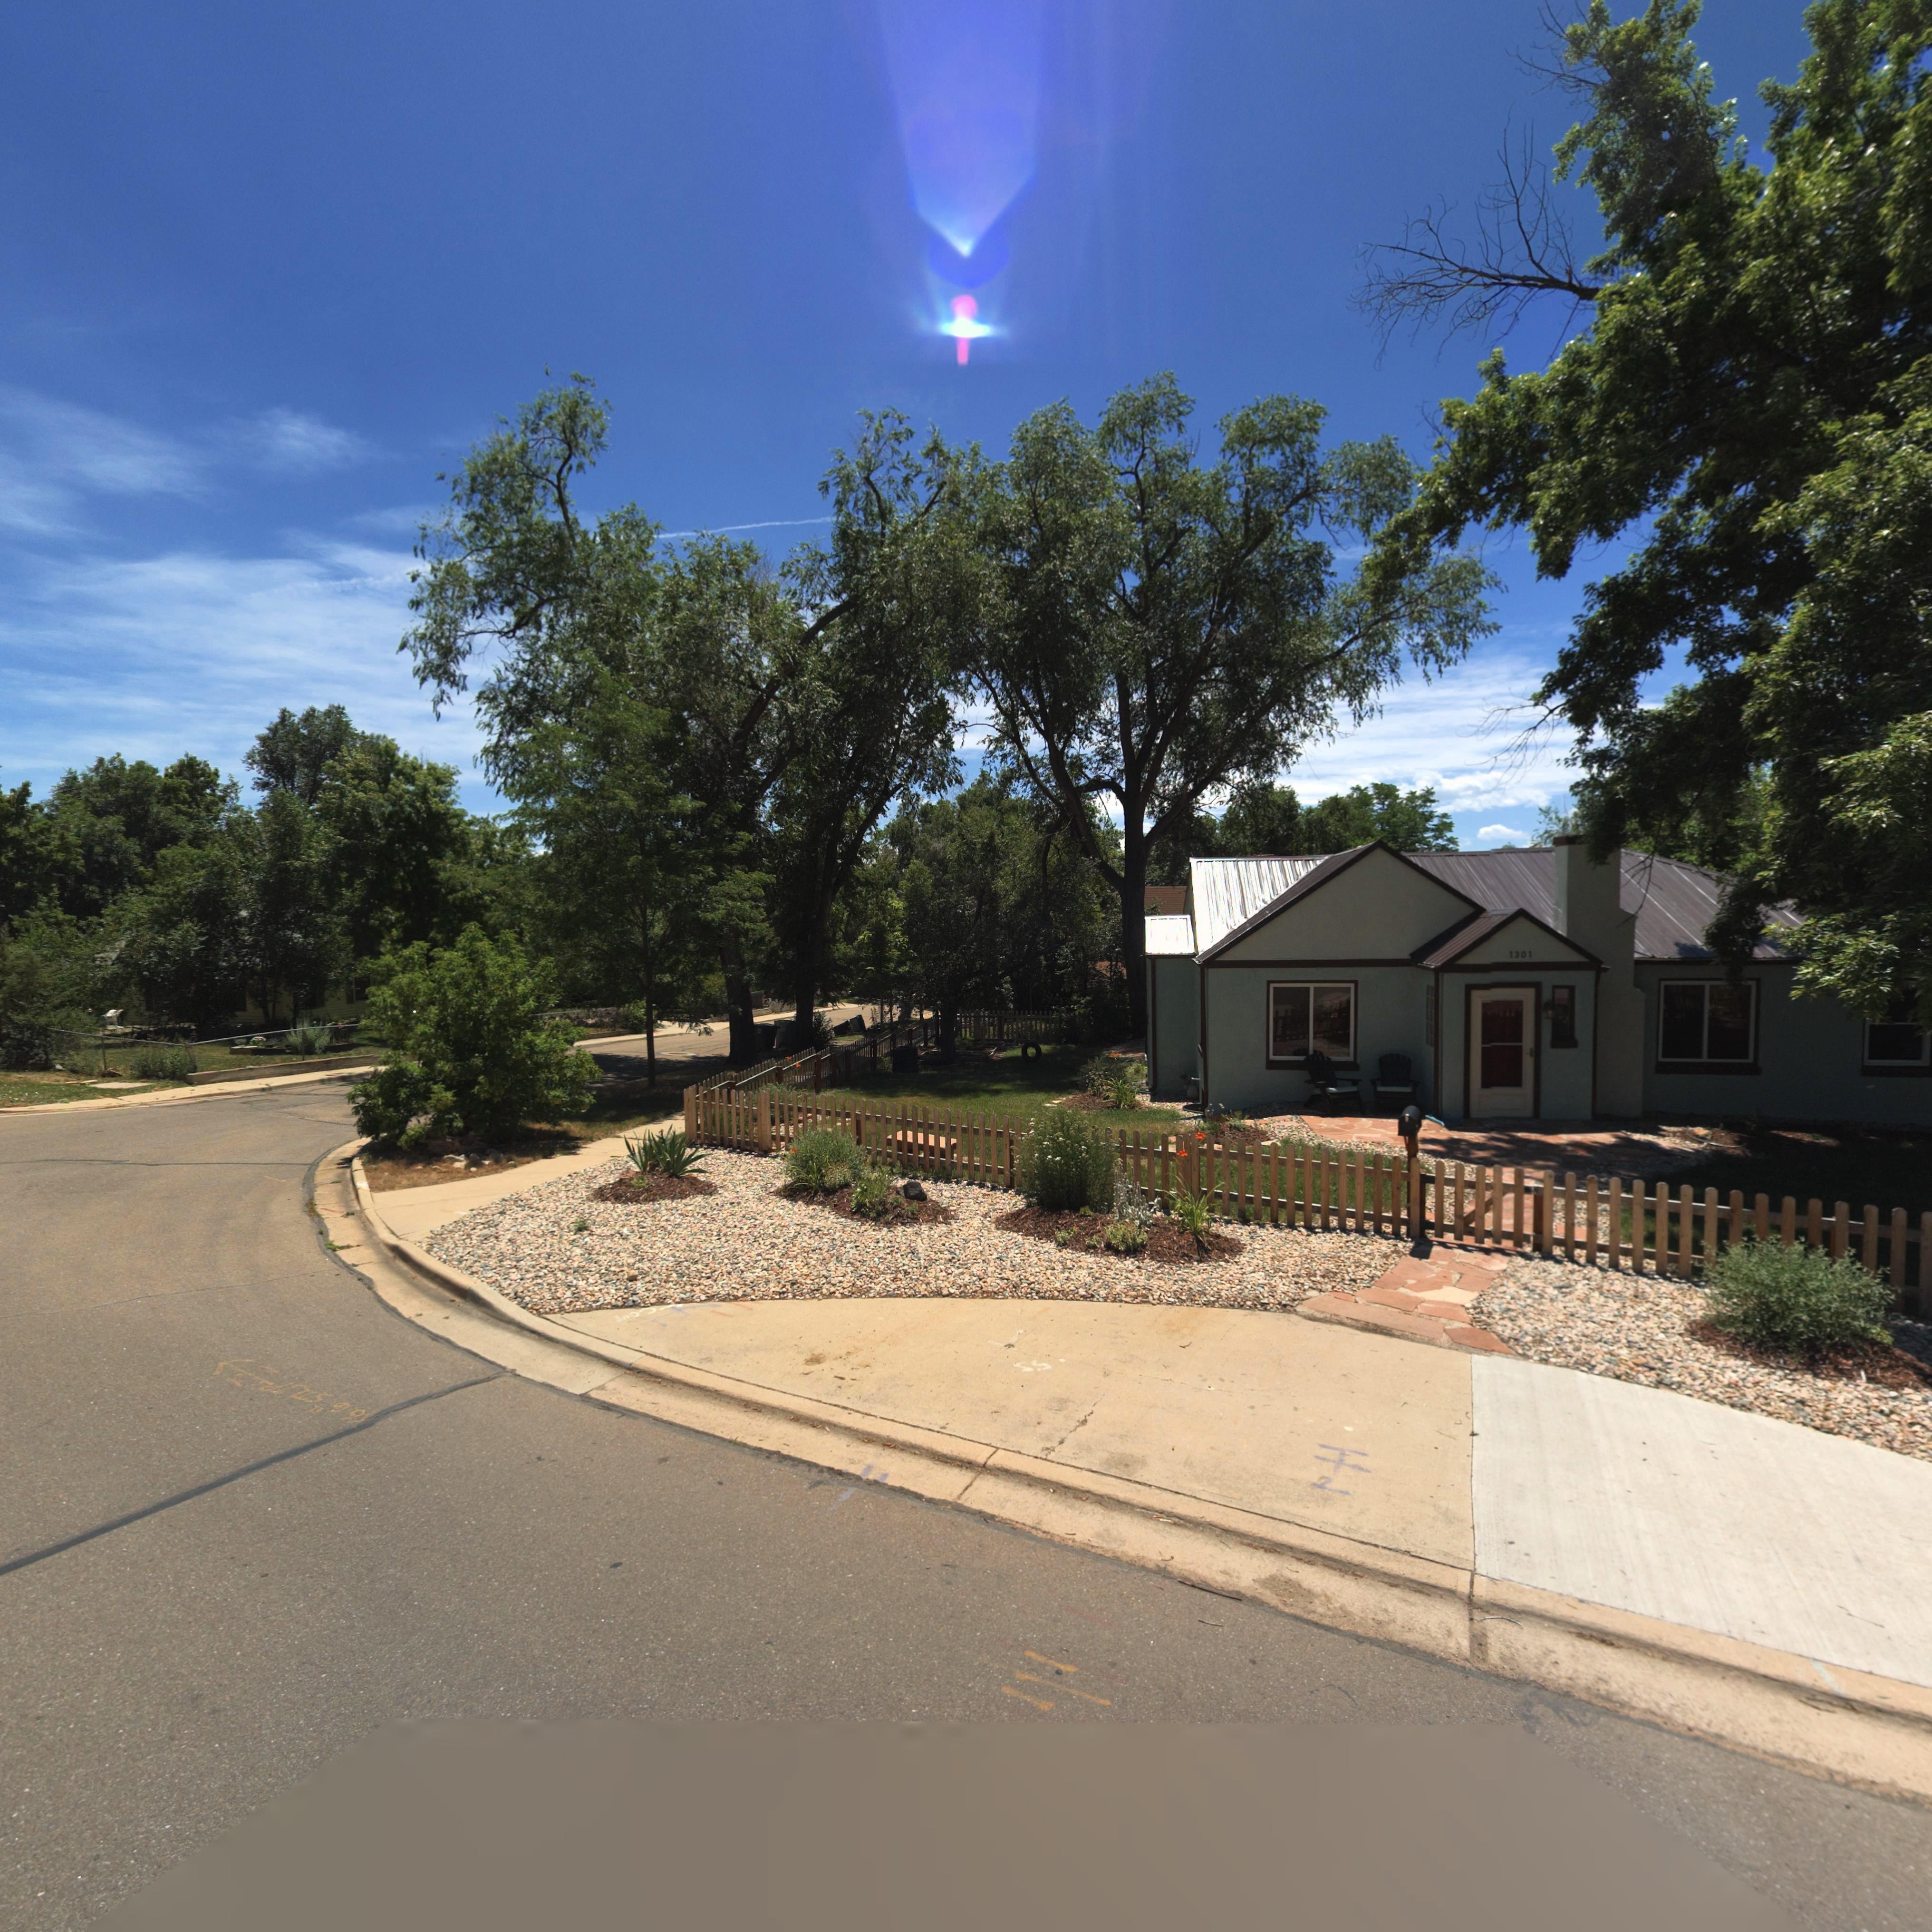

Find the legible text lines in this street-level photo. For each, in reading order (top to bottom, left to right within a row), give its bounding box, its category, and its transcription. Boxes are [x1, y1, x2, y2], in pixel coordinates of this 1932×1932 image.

[1509, 950, 1531, 958] StreetNumber: 1301